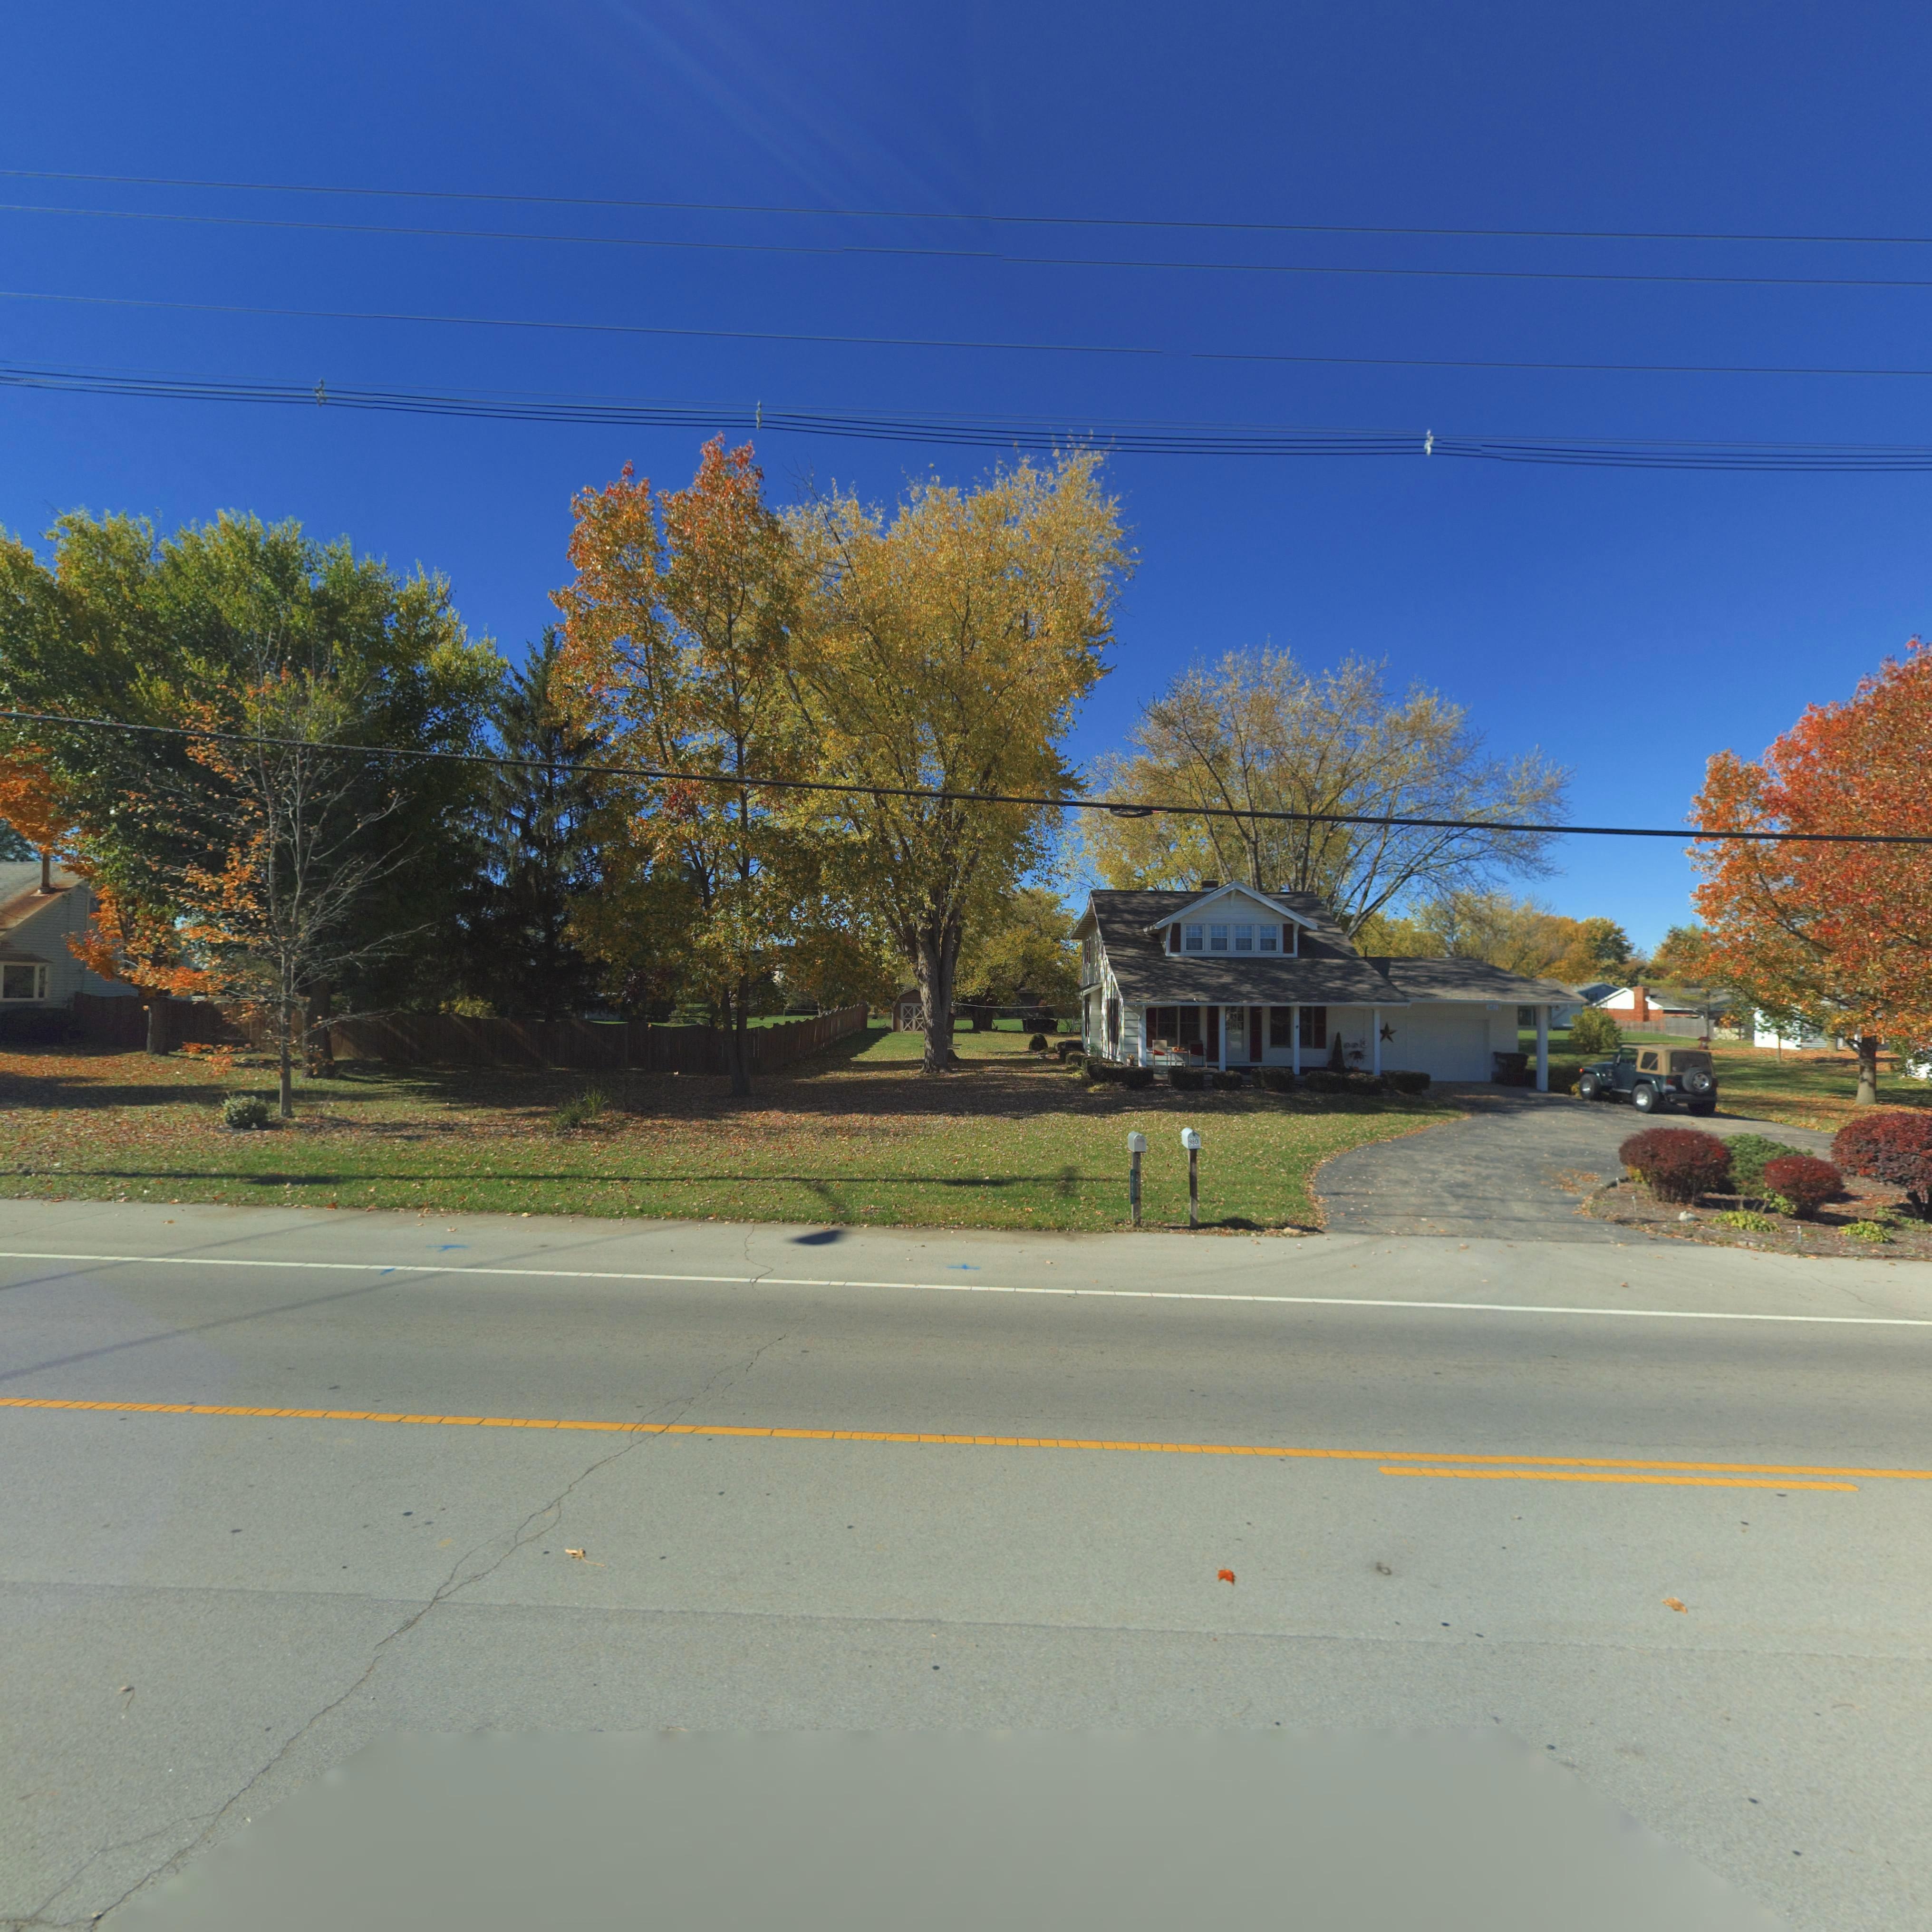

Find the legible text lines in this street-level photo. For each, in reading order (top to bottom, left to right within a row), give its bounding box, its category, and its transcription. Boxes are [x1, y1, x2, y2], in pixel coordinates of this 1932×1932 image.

[1188, 1138, 1198, 1146] StreetNumber: 980
[1130, 1174, 1135, 1197] StreetNumber: 985